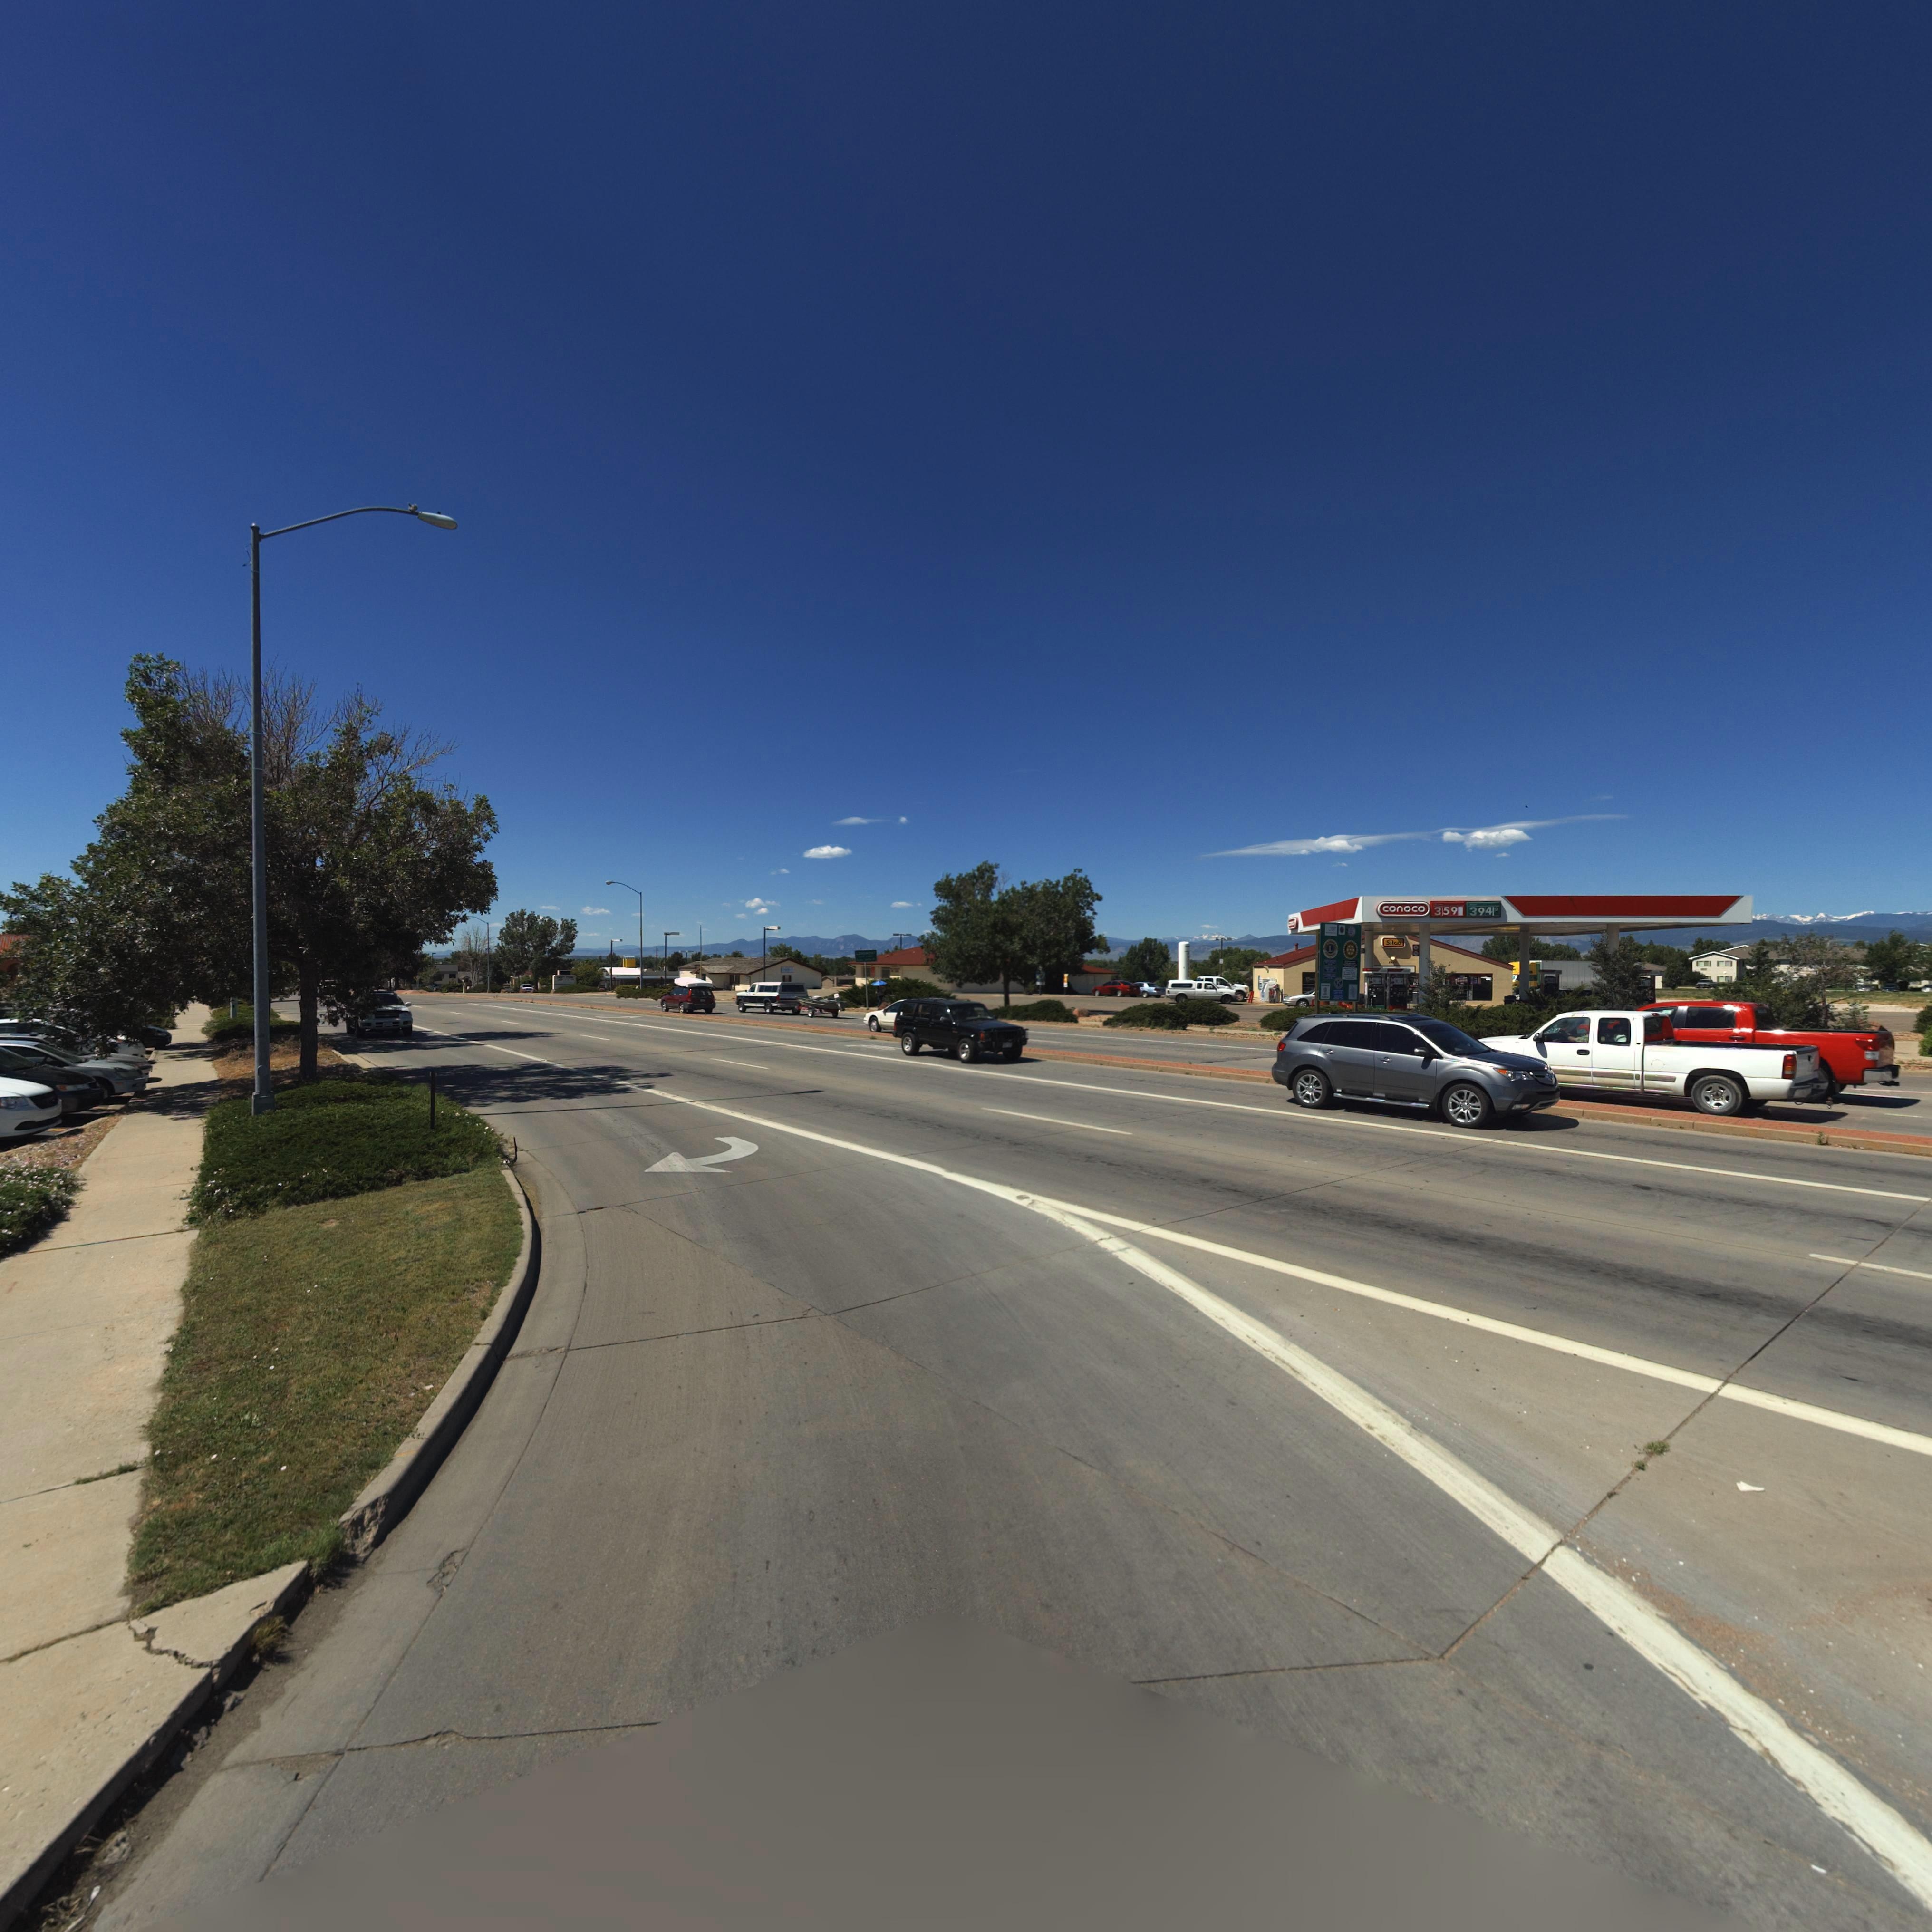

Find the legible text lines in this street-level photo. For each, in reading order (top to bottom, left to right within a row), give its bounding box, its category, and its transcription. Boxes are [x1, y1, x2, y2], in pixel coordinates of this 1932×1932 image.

[1382, 906, 1425, 913] BusinessName: conoco
[1288, 920, 1295, 926] BusinessName: *****o
[1386, 939, 1401, 945] BusinessName: Silco